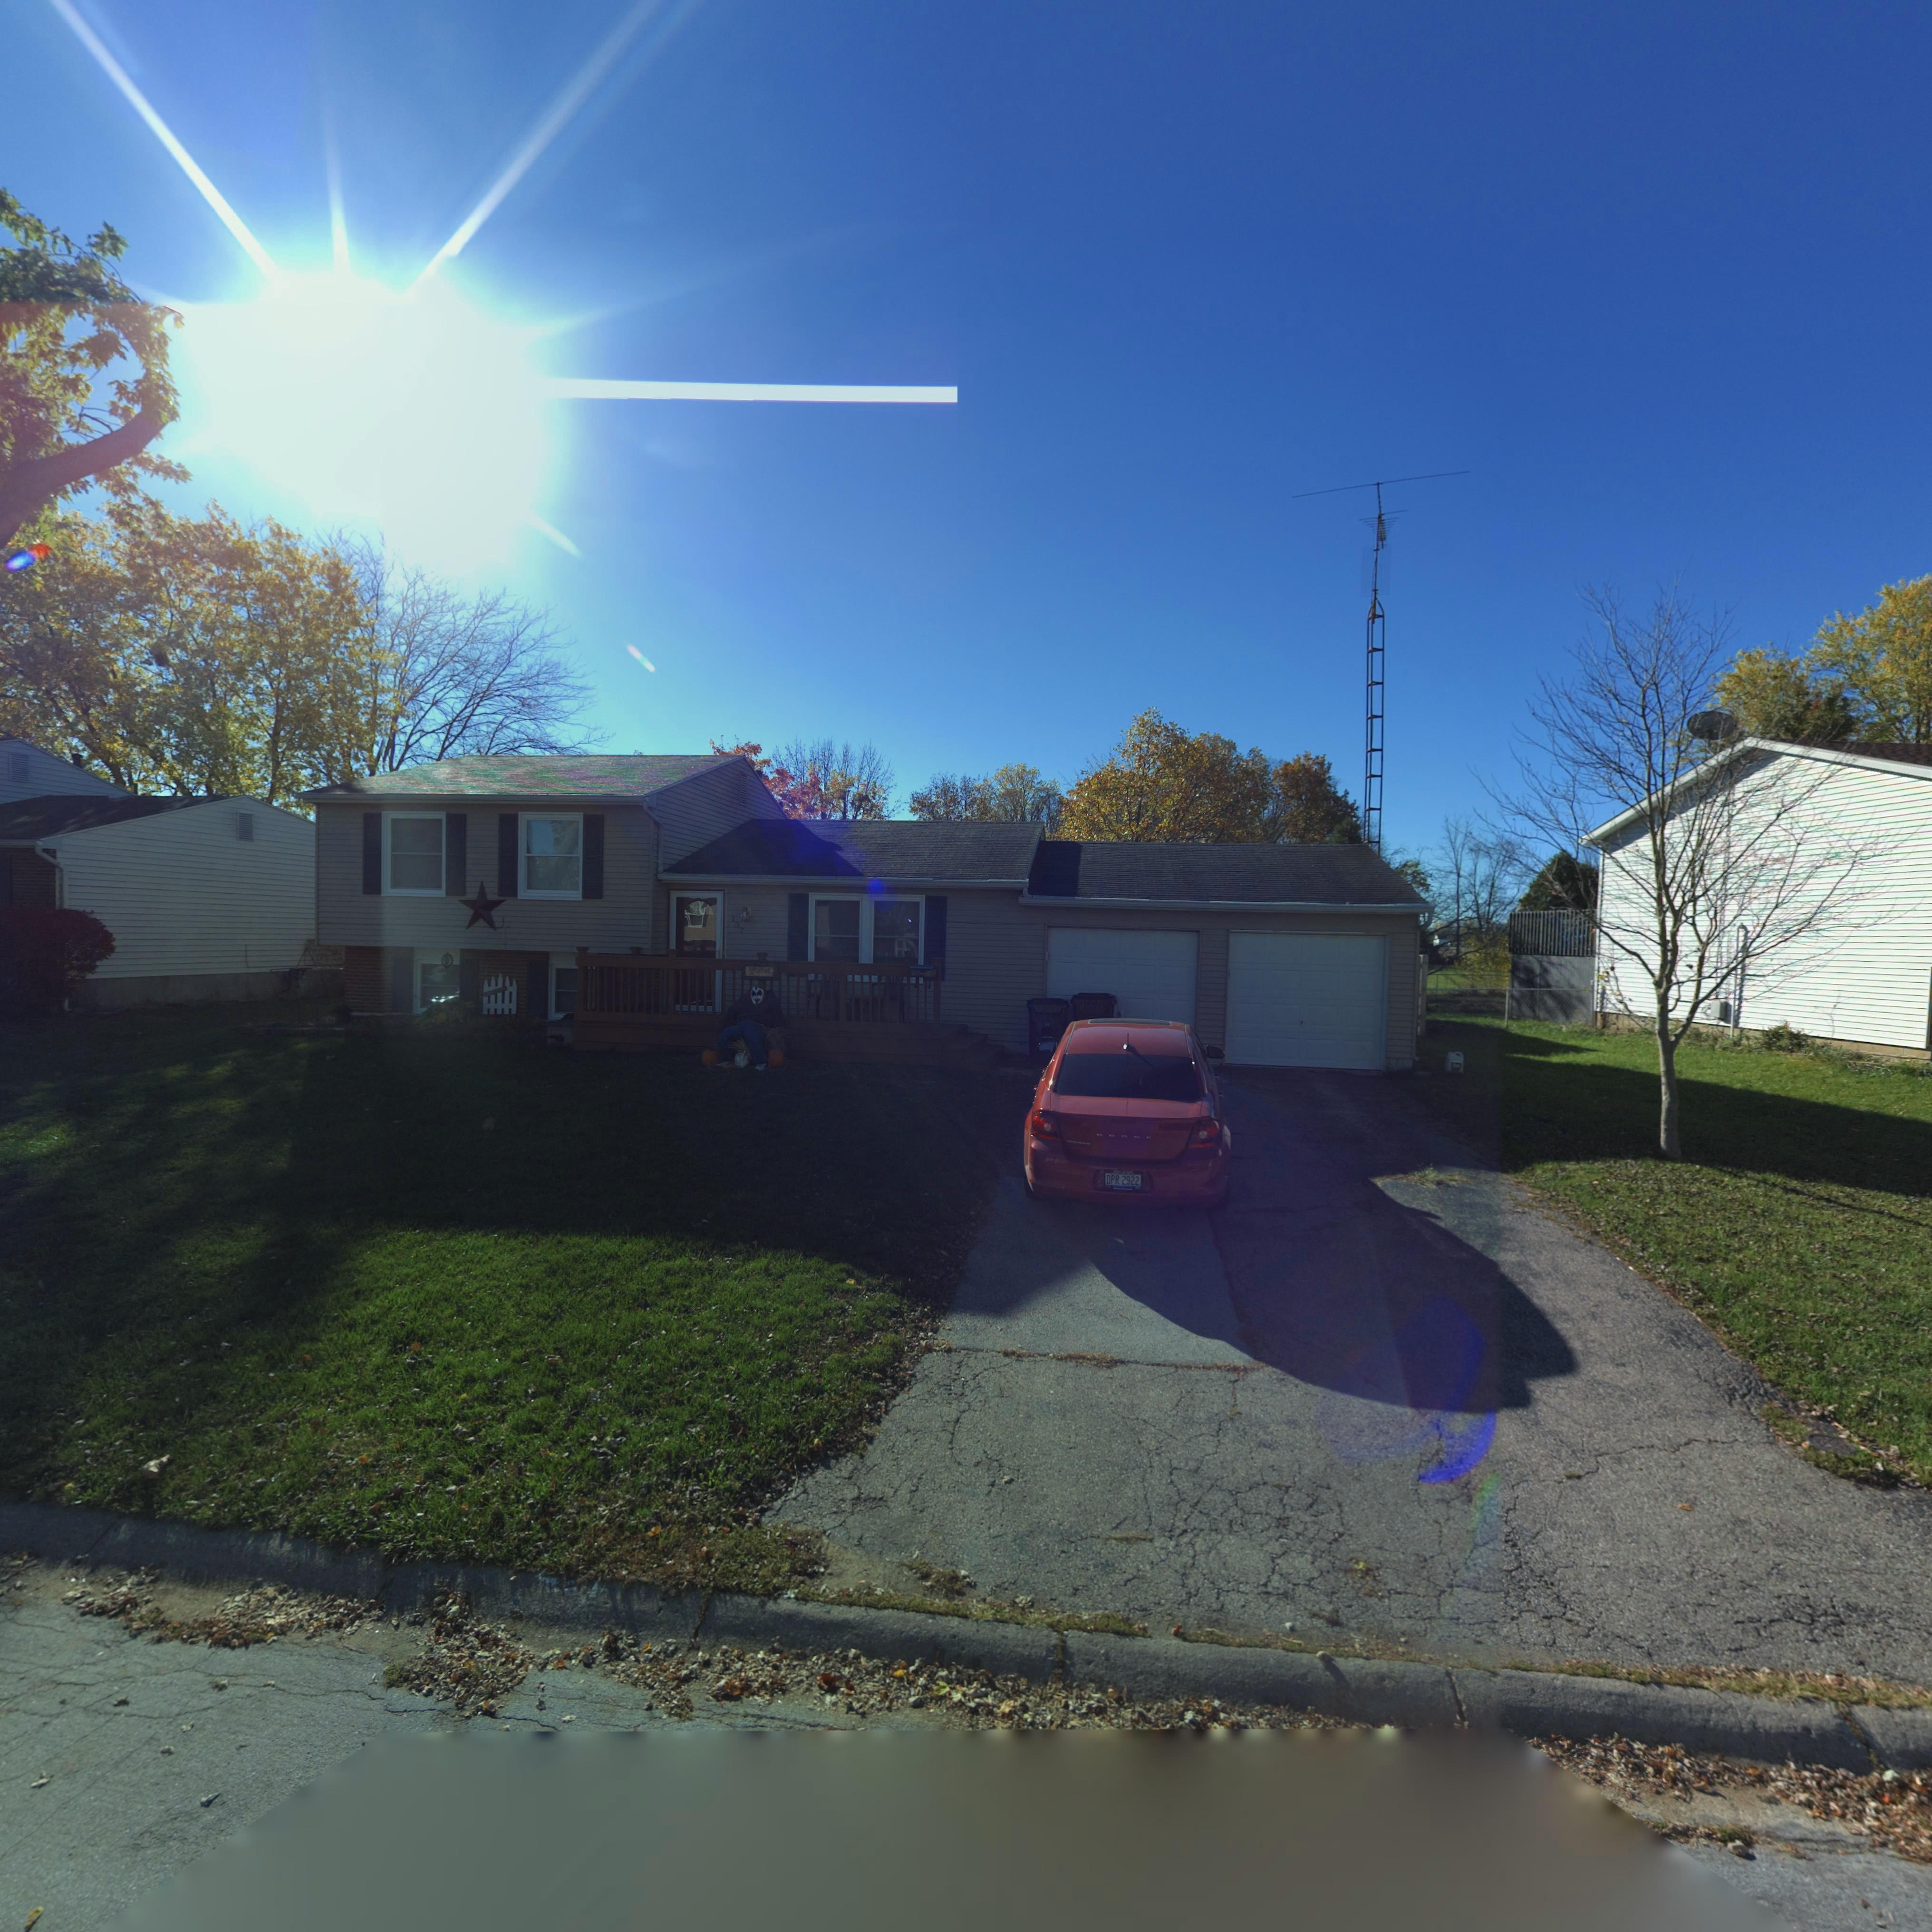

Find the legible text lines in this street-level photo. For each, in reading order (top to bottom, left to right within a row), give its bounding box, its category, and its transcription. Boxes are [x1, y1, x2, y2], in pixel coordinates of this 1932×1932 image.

[732, 915, 744, 934] StreetNumber: 137